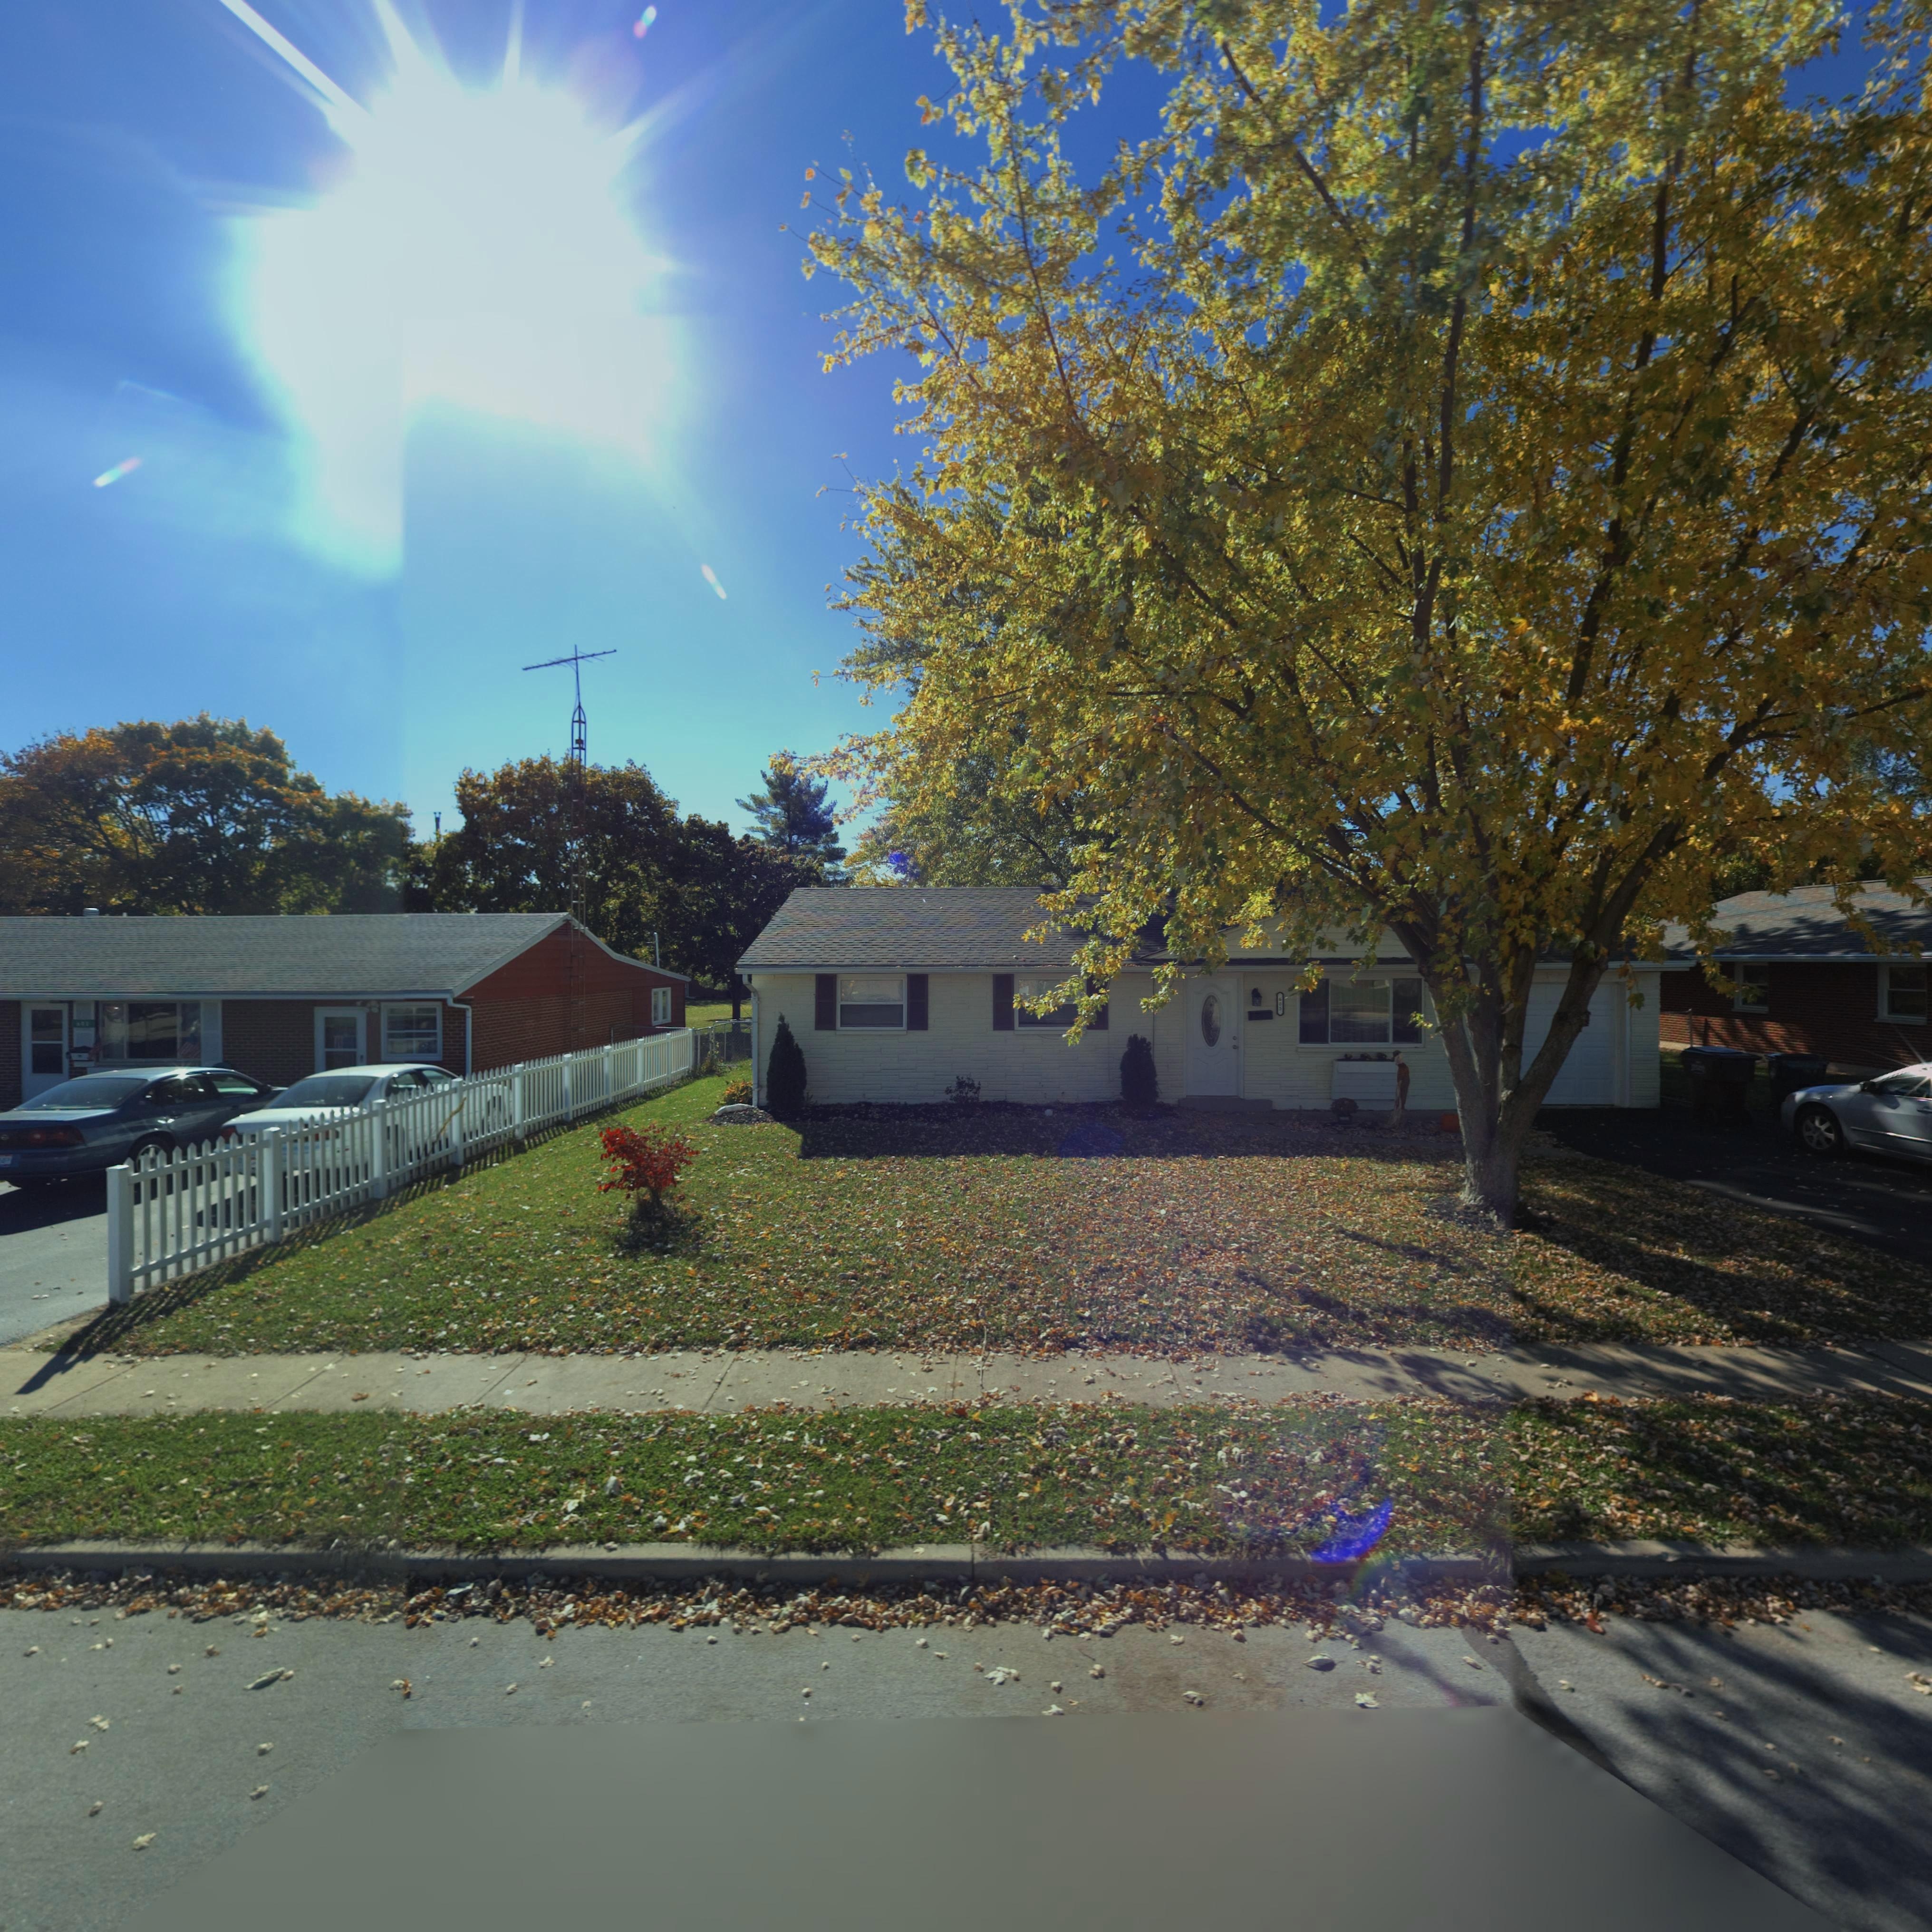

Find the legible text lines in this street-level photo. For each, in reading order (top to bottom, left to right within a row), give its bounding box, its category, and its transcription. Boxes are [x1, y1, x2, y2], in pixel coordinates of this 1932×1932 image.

[1278, 996, 1282, 1011] StreetNumber: 605
[75, 1021, 89, 1026] StreetNumber: 60*